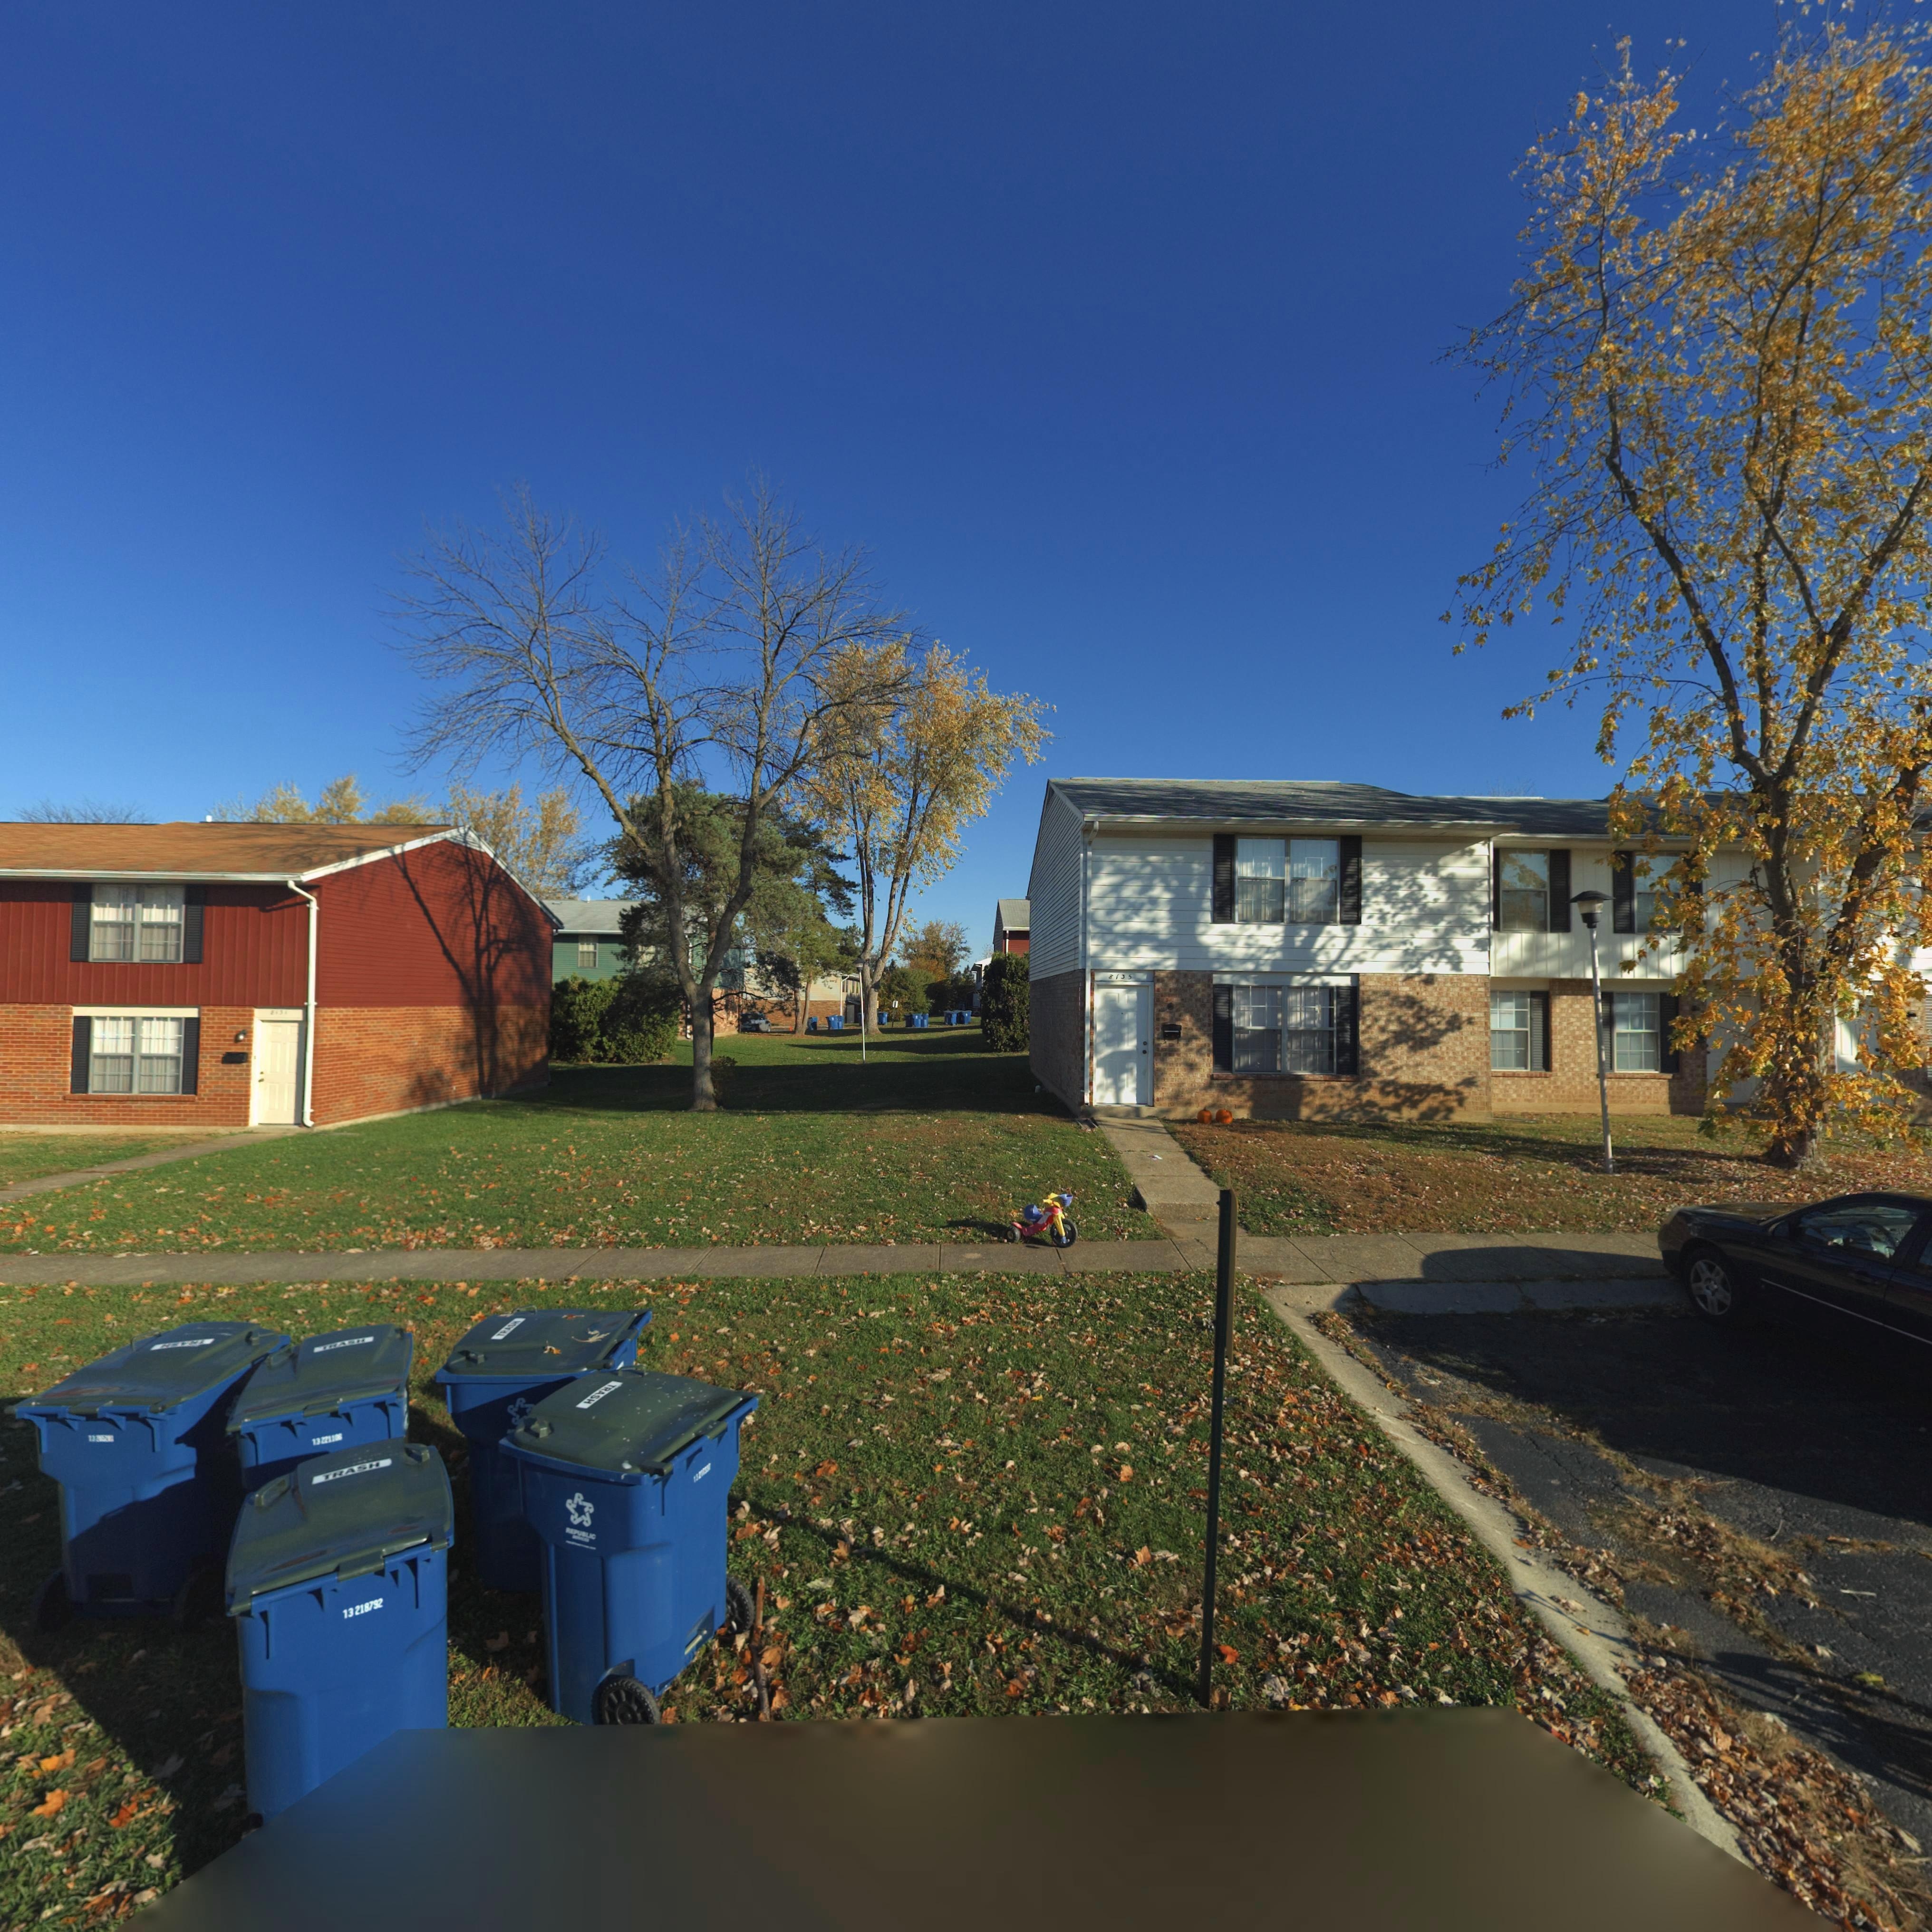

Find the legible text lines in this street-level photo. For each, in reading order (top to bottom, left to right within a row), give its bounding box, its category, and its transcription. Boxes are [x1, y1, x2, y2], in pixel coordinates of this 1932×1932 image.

[1107, 973, 1133, 980] StreetNumber: 8135